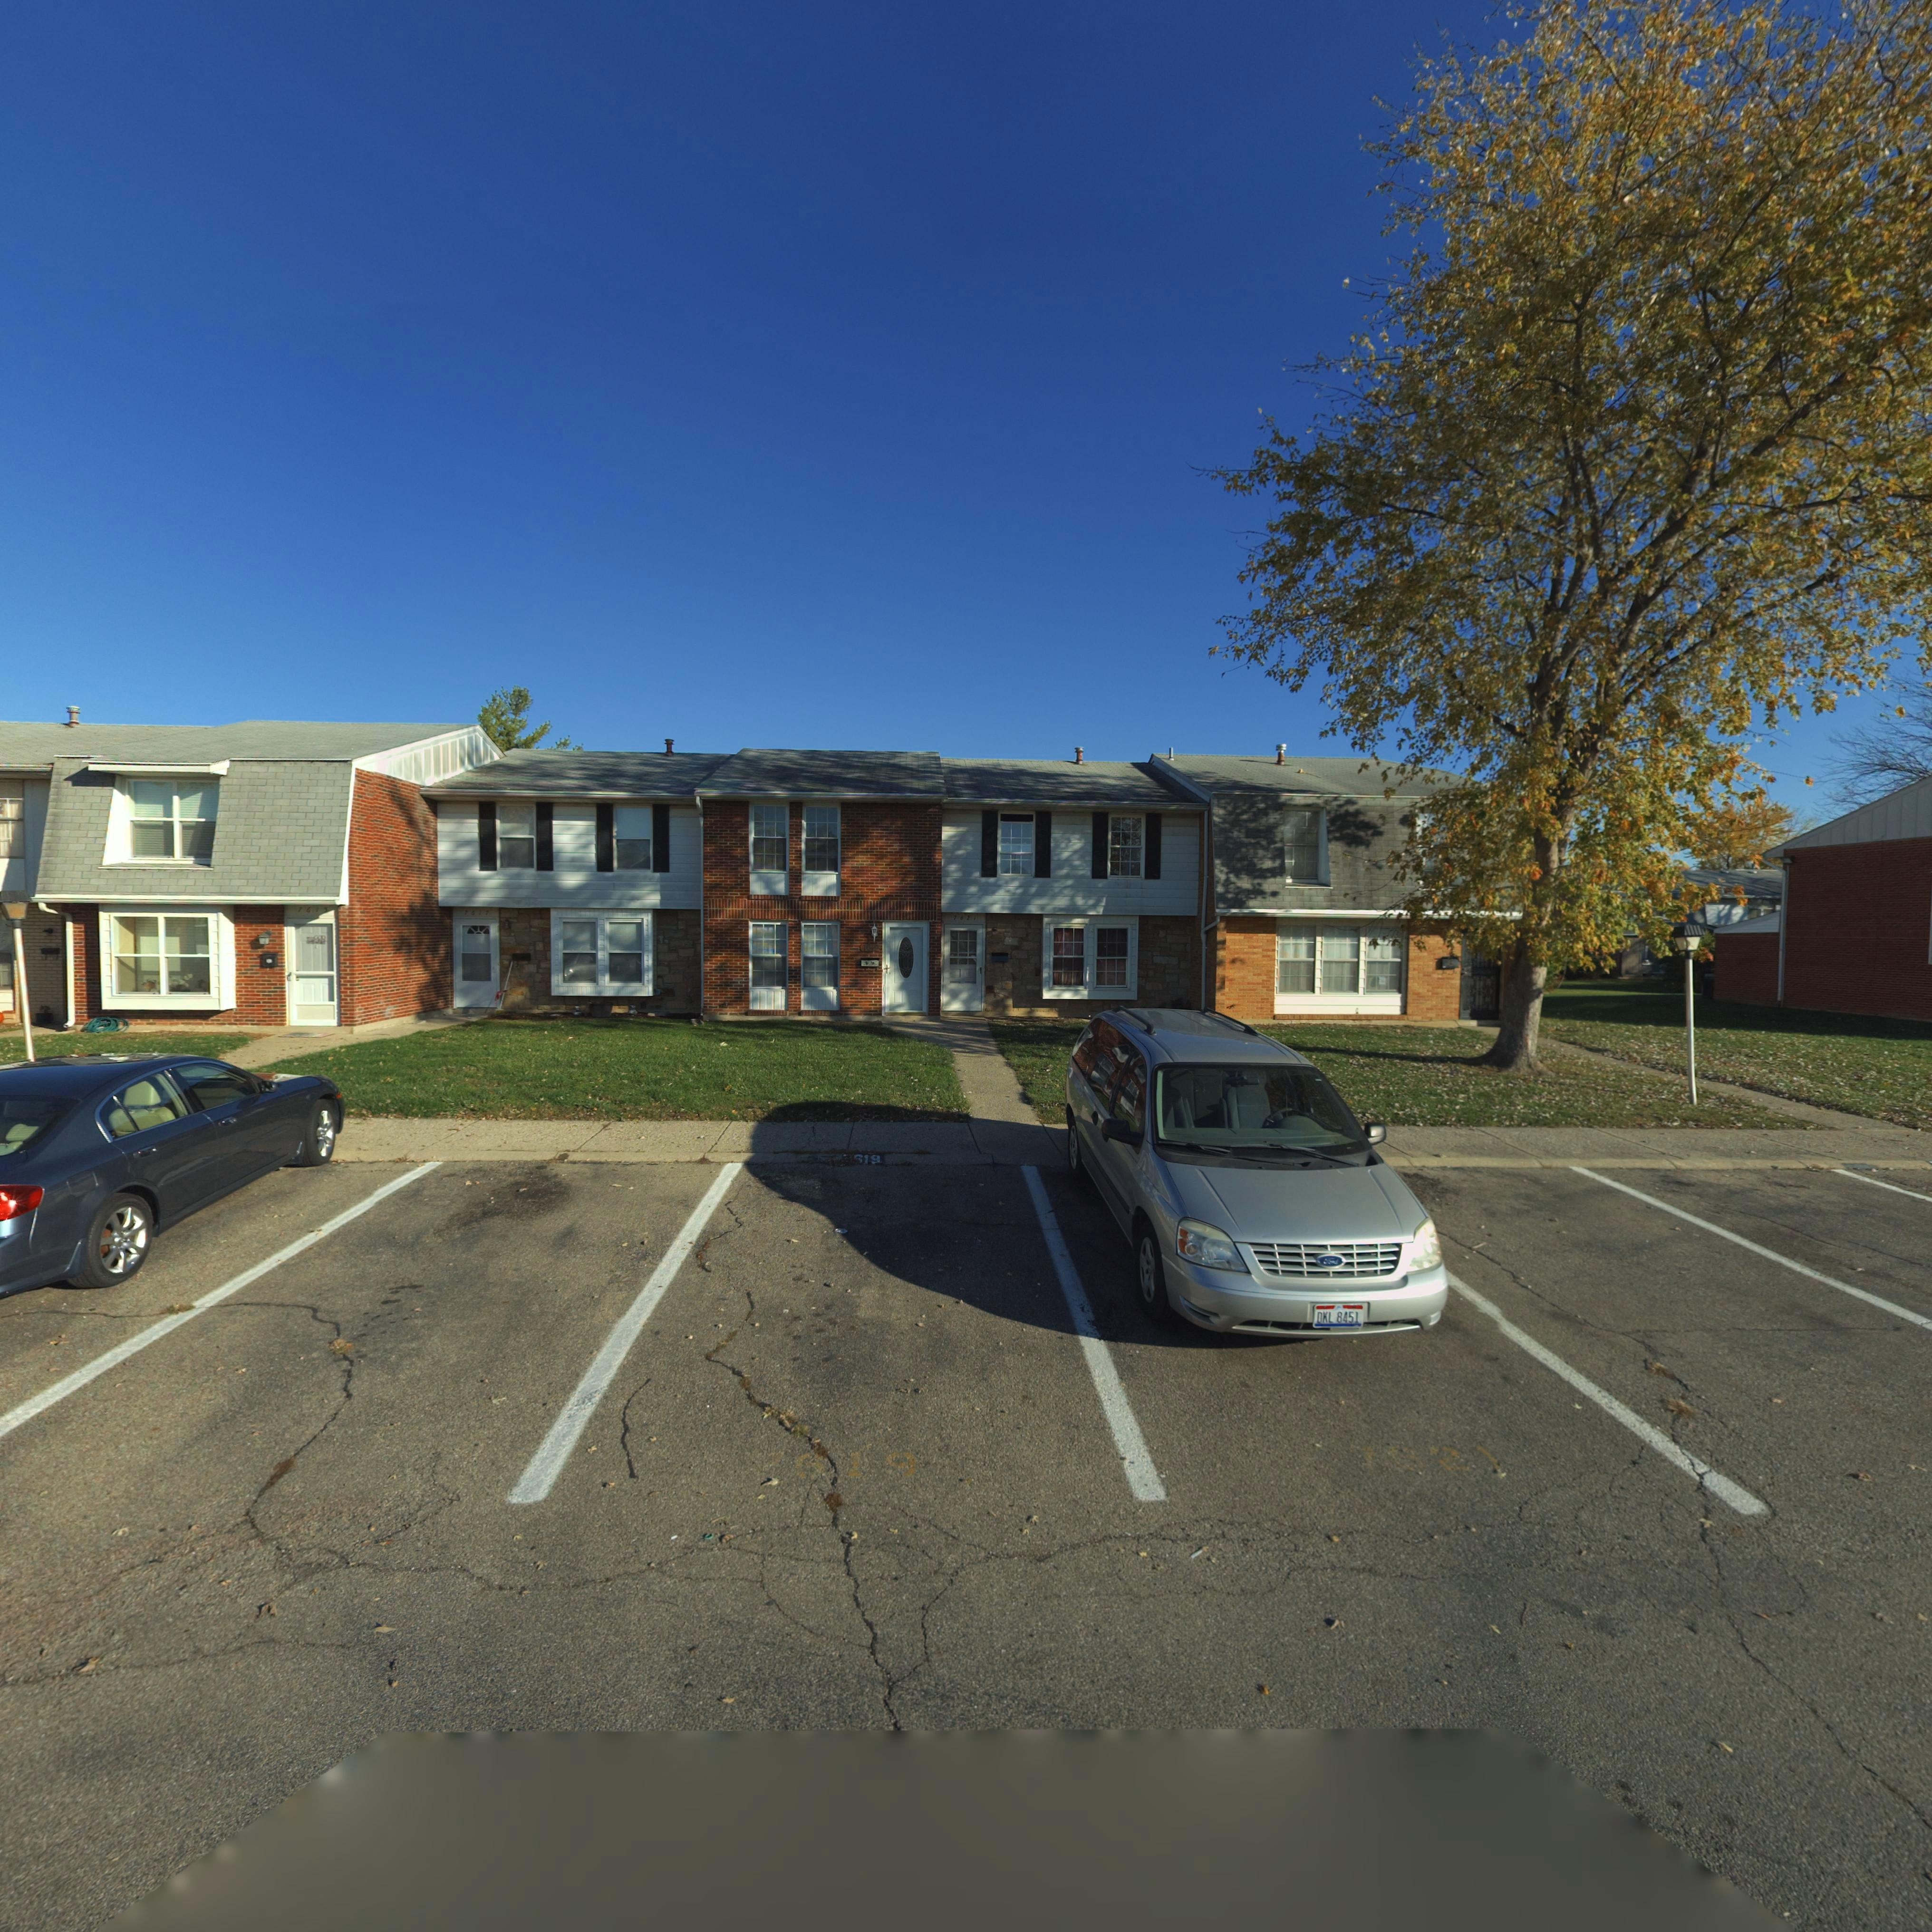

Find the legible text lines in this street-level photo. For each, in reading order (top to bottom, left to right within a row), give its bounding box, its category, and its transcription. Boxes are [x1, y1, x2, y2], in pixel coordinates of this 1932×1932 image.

[297, 906, 328, 914] StreetNumber: 7615
[464, 909, 490, 916] StreetNumber: 7617
[953, 914, 977, 921] StreetNumber: 7621
[861, 944, 879, 951] StreetNumber: 7619
[863, 1154, 881, 1165] StreetNumber: 19